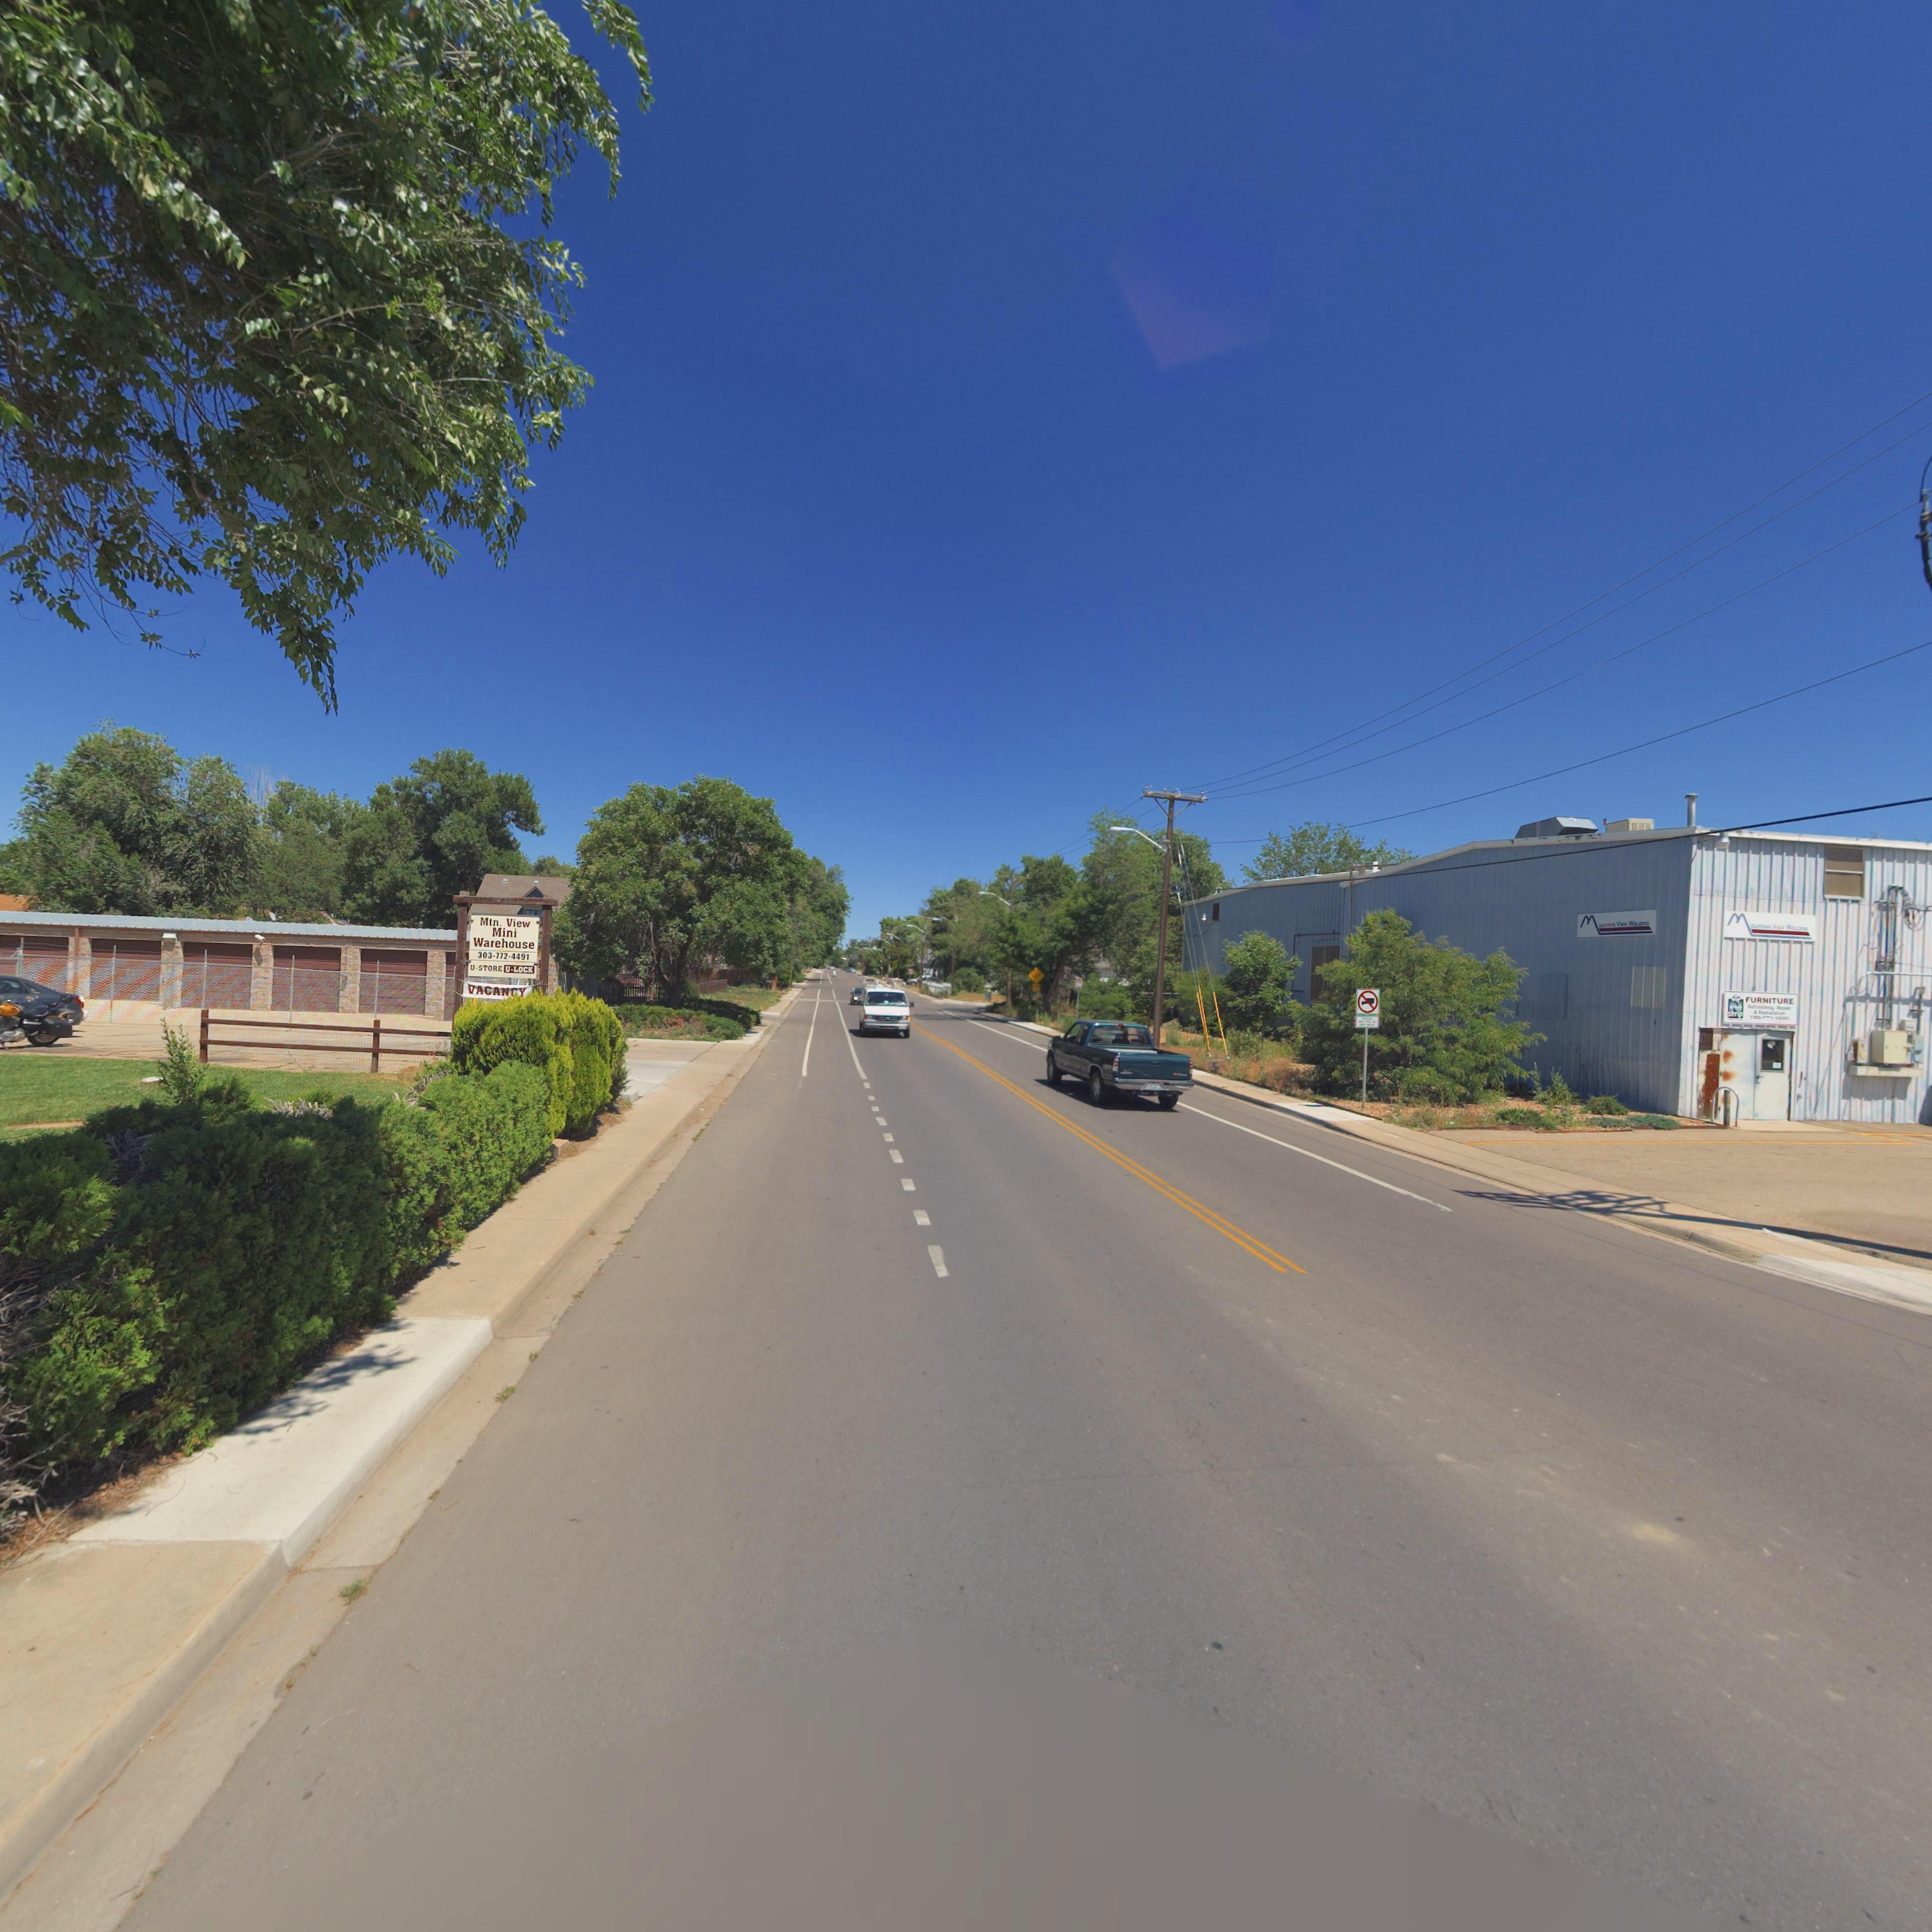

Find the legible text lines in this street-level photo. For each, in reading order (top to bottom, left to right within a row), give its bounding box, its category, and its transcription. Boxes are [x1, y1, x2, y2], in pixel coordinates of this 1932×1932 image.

[492, 927, 517, 938] BusinessName: Mini
[480, 917, 531, 928] BusinessName: Mtn. View
[1598, 920, 1650, 927] BusinessName: OUNTAIN VIEW WELDING
[1749, 922, 1808, 931] BusinessName: OU**A*N VIEW WELD*NG
[473, 937, 534, 949] BusinessName: Warehouse